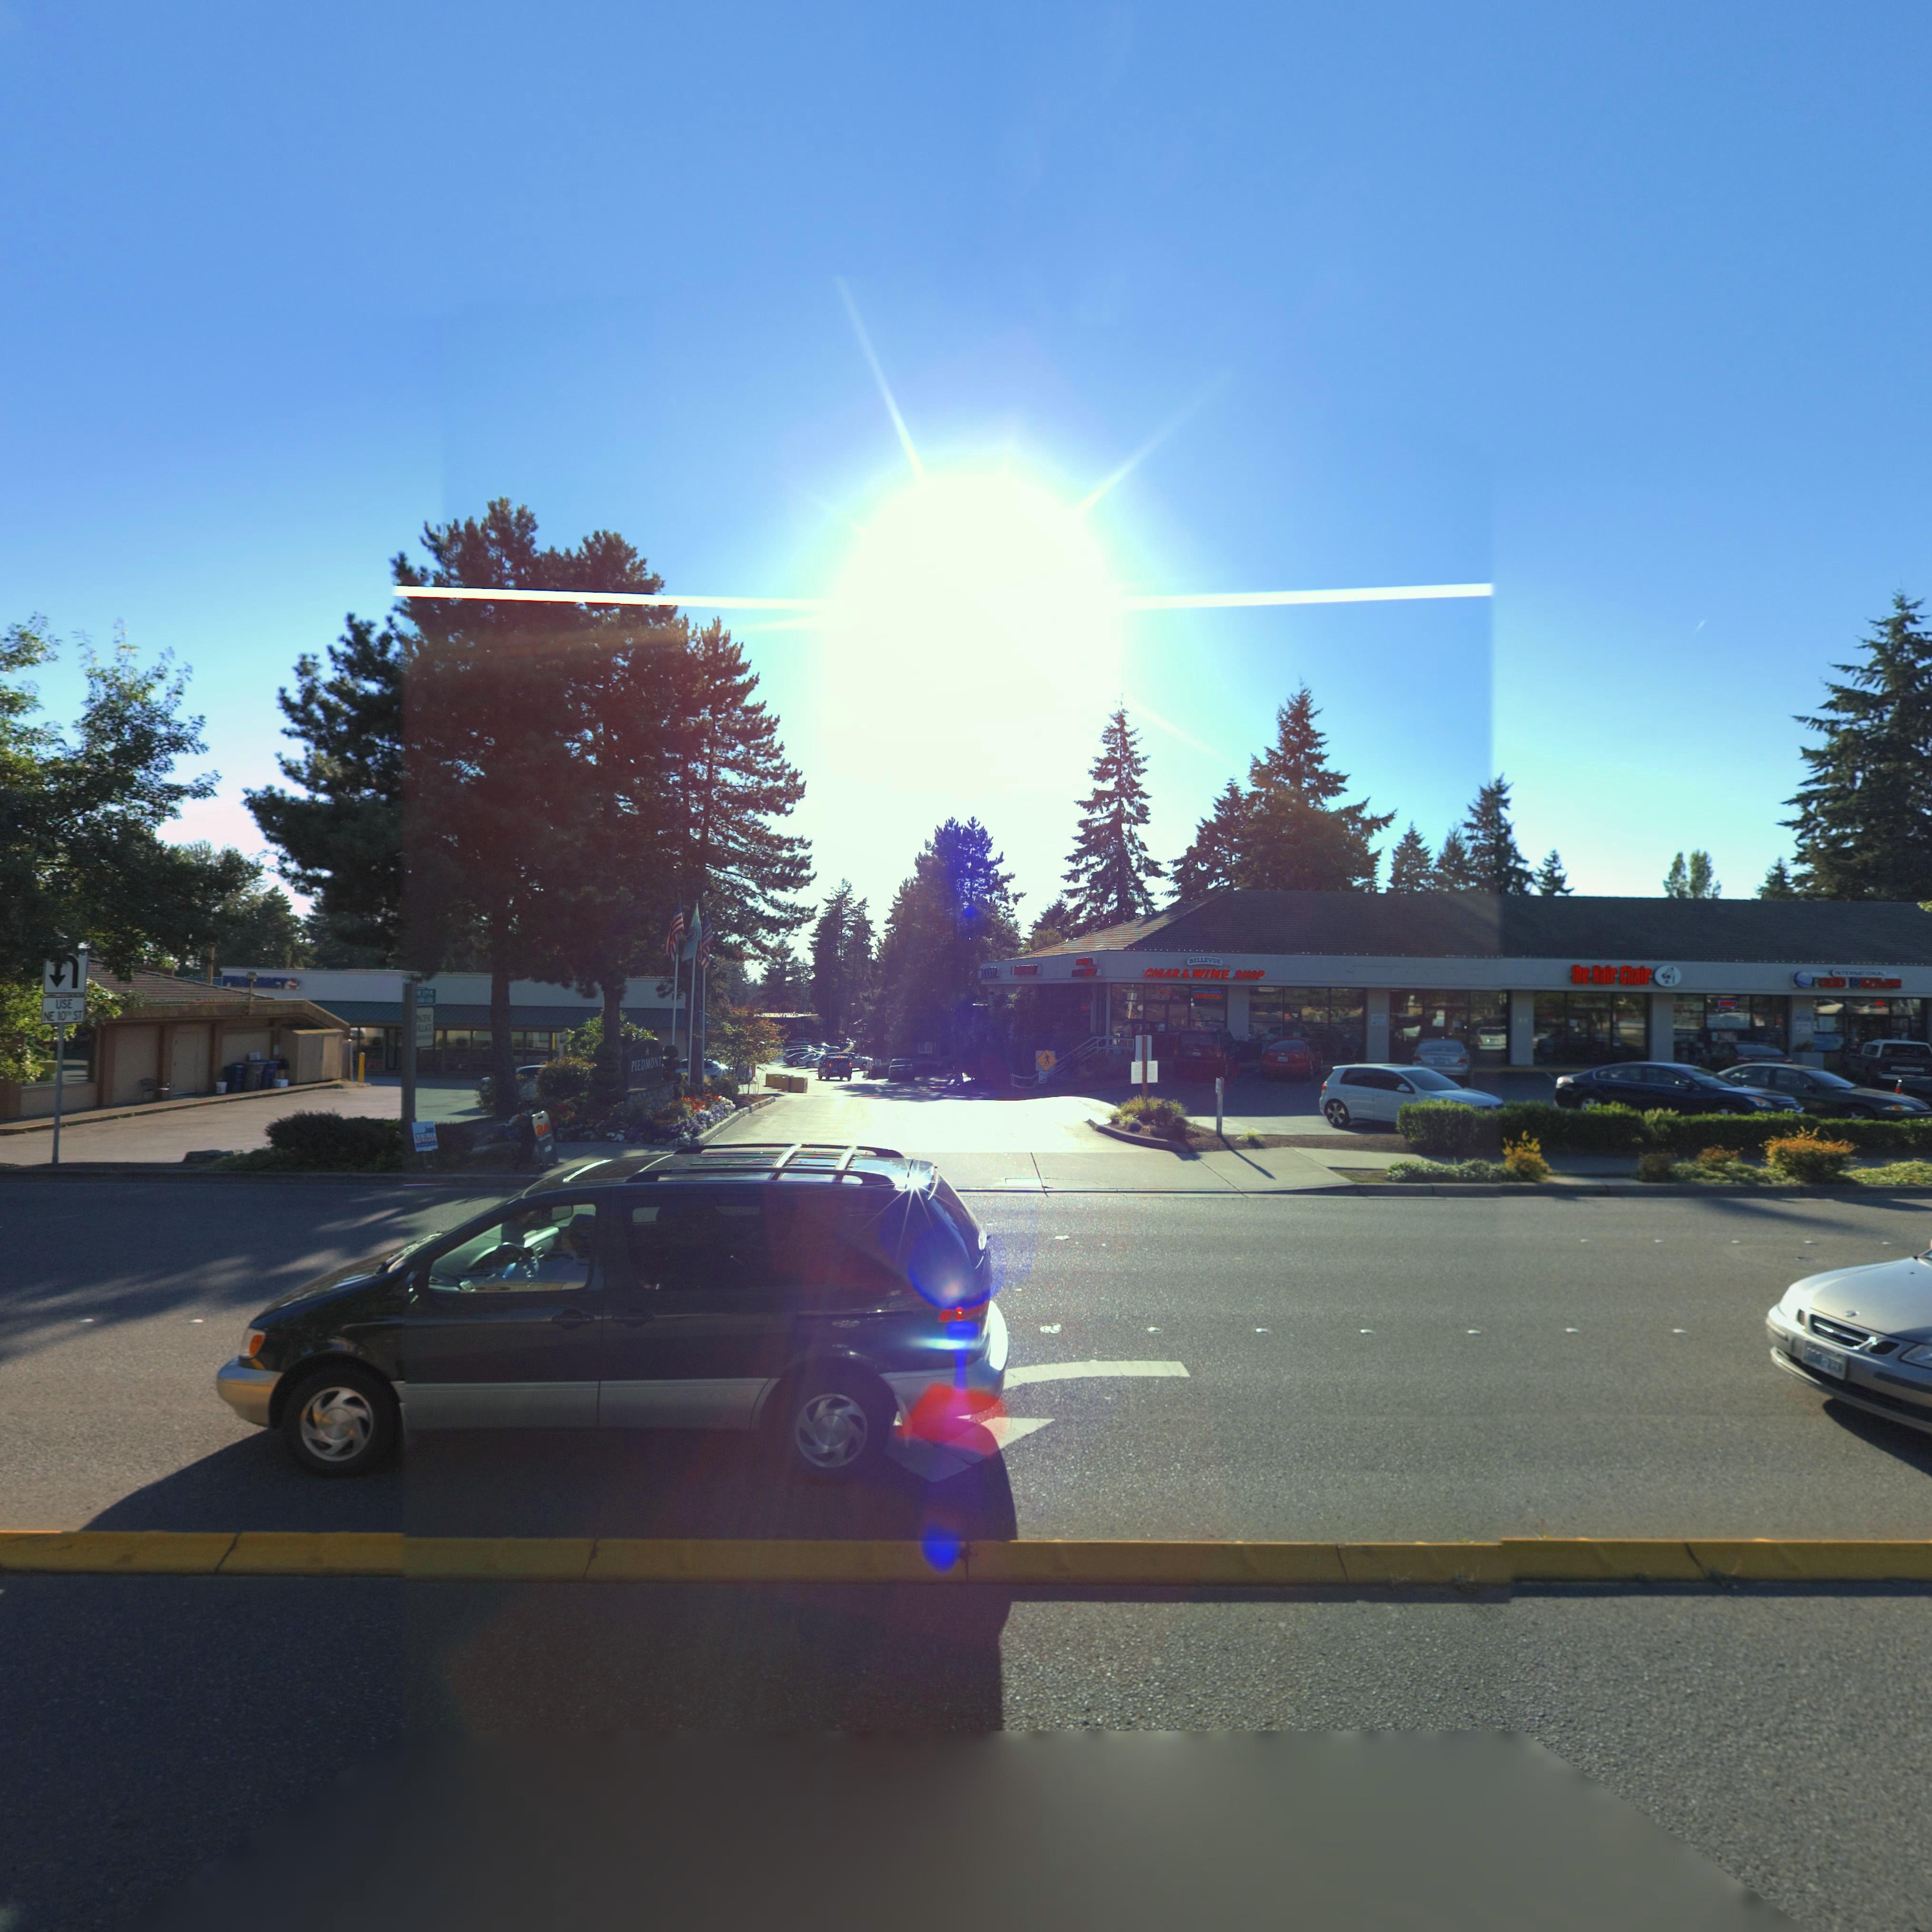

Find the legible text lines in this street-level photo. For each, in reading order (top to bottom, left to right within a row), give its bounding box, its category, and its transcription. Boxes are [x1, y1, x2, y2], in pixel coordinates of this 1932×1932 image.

[1188, 956, 1221, 964] BusinessName: BELLEVUE
[1144, 967, 1266, 981] BusinessName: CIGAR * WINE SHOP
[1571, 964, 1652, 984] BusinessName: The Hair Chair
[221, 975, 289, 990] BusinessName: P***ACY
[1811, 976, 1902, 989] BusinessName: FOOD BAZAA*
[43, 1010, 83, 1022] StreetName: NE 10** ST